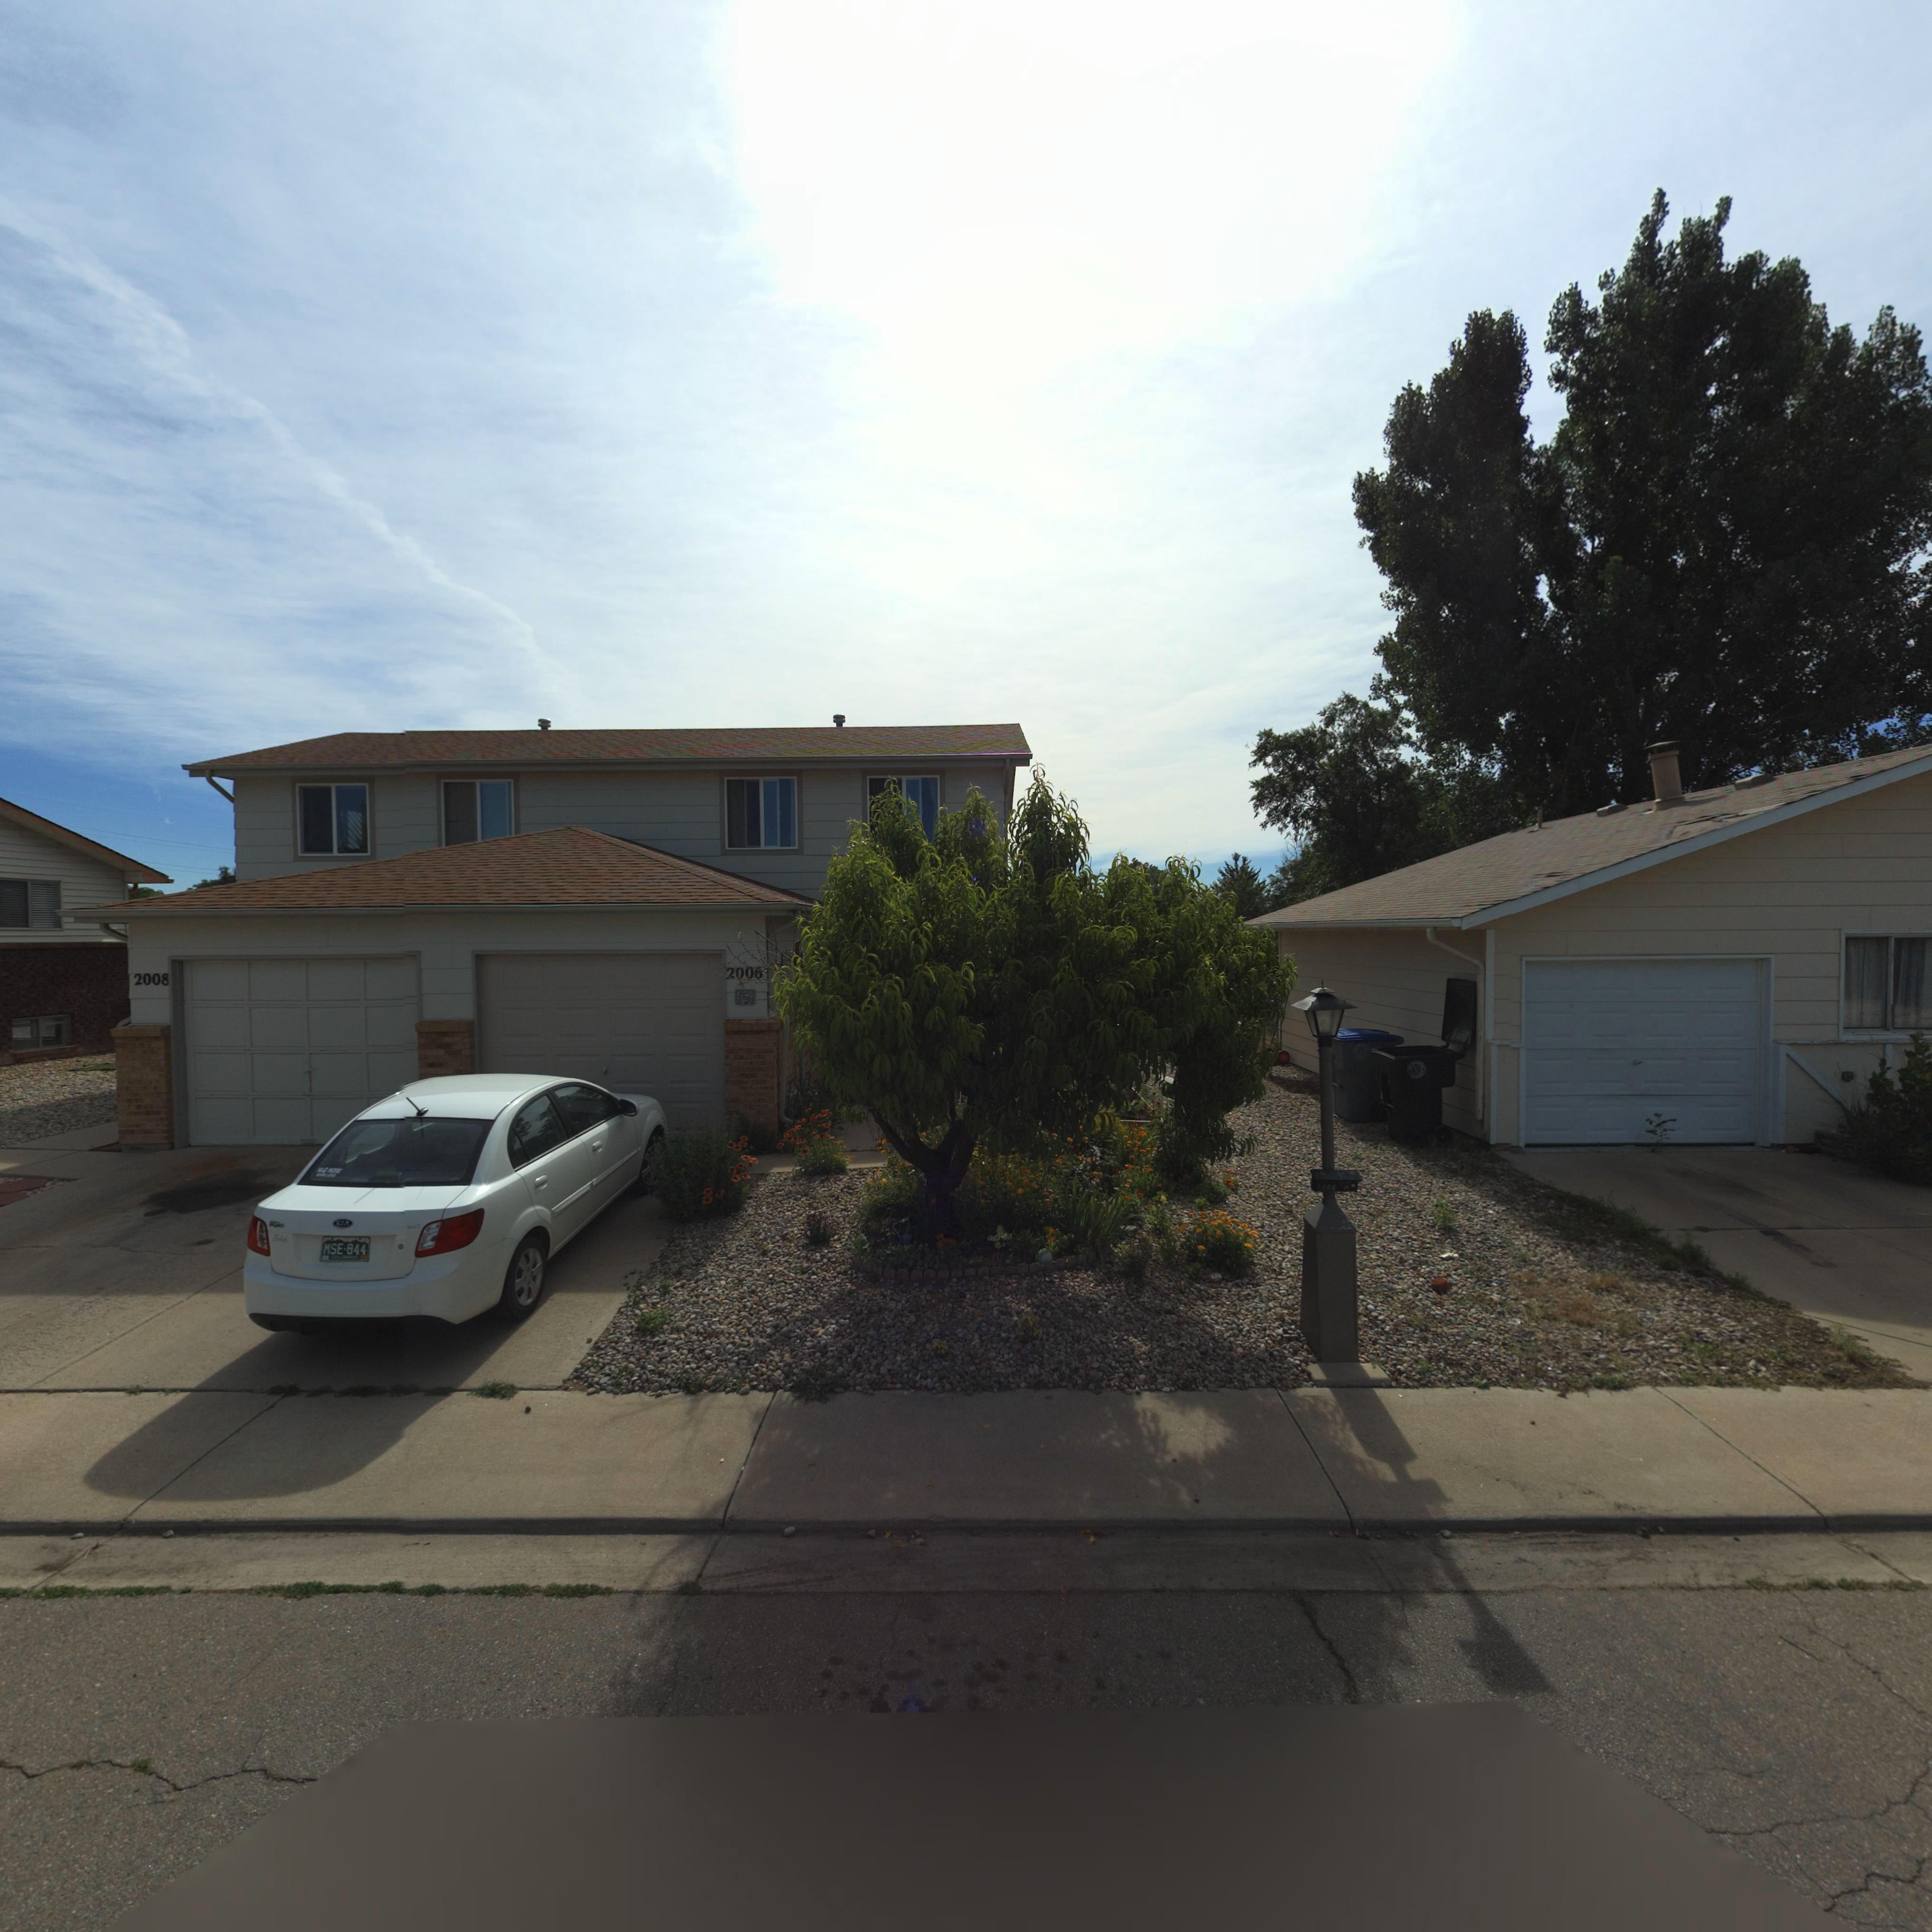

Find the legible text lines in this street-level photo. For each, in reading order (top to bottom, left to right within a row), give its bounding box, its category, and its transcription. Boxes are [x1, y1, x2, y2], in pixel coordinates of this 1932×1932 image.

[133, 973, 170, 986] StreetNumber: 2008
[726, 966, 764, 979] StreetNumber: 2006